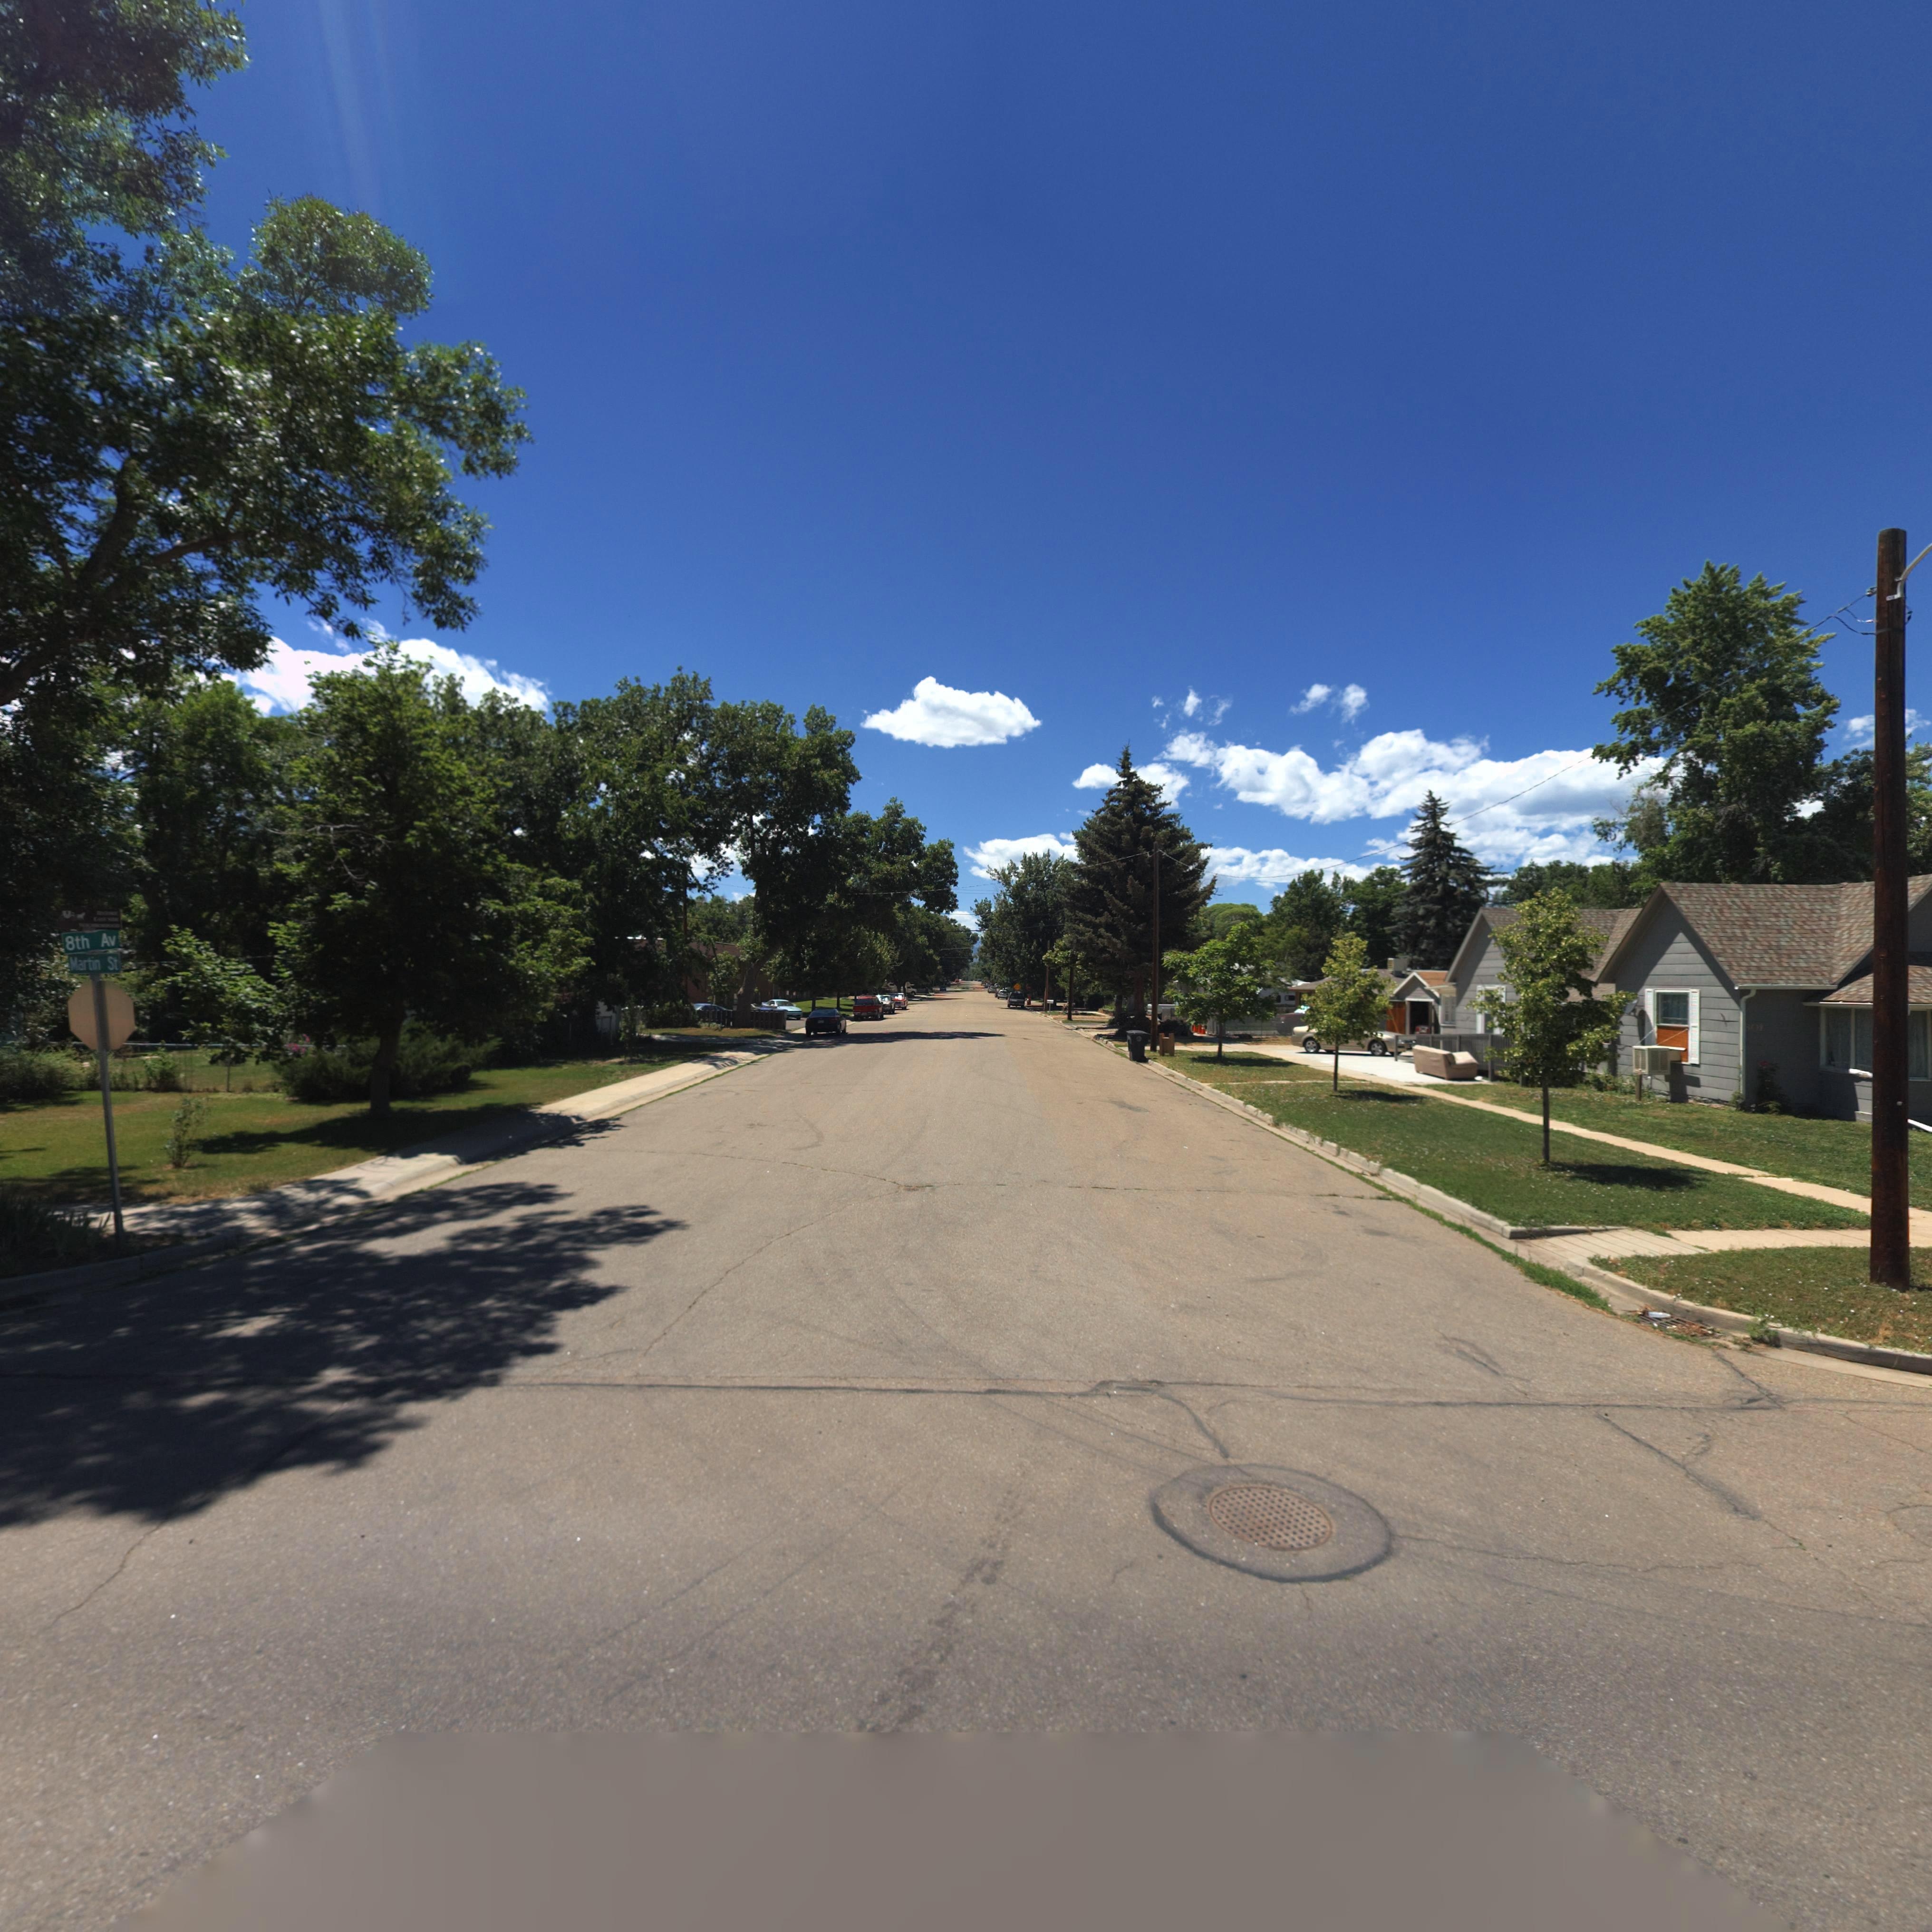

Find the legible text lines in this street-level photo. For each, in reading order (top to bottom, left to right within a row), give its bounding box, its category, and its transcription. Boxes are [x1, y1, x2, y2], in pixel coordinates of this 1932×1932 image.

[64, 932, 116, 951] StreetName: 8th Av
[69, 956, 118, 970] StreetName: Martin St